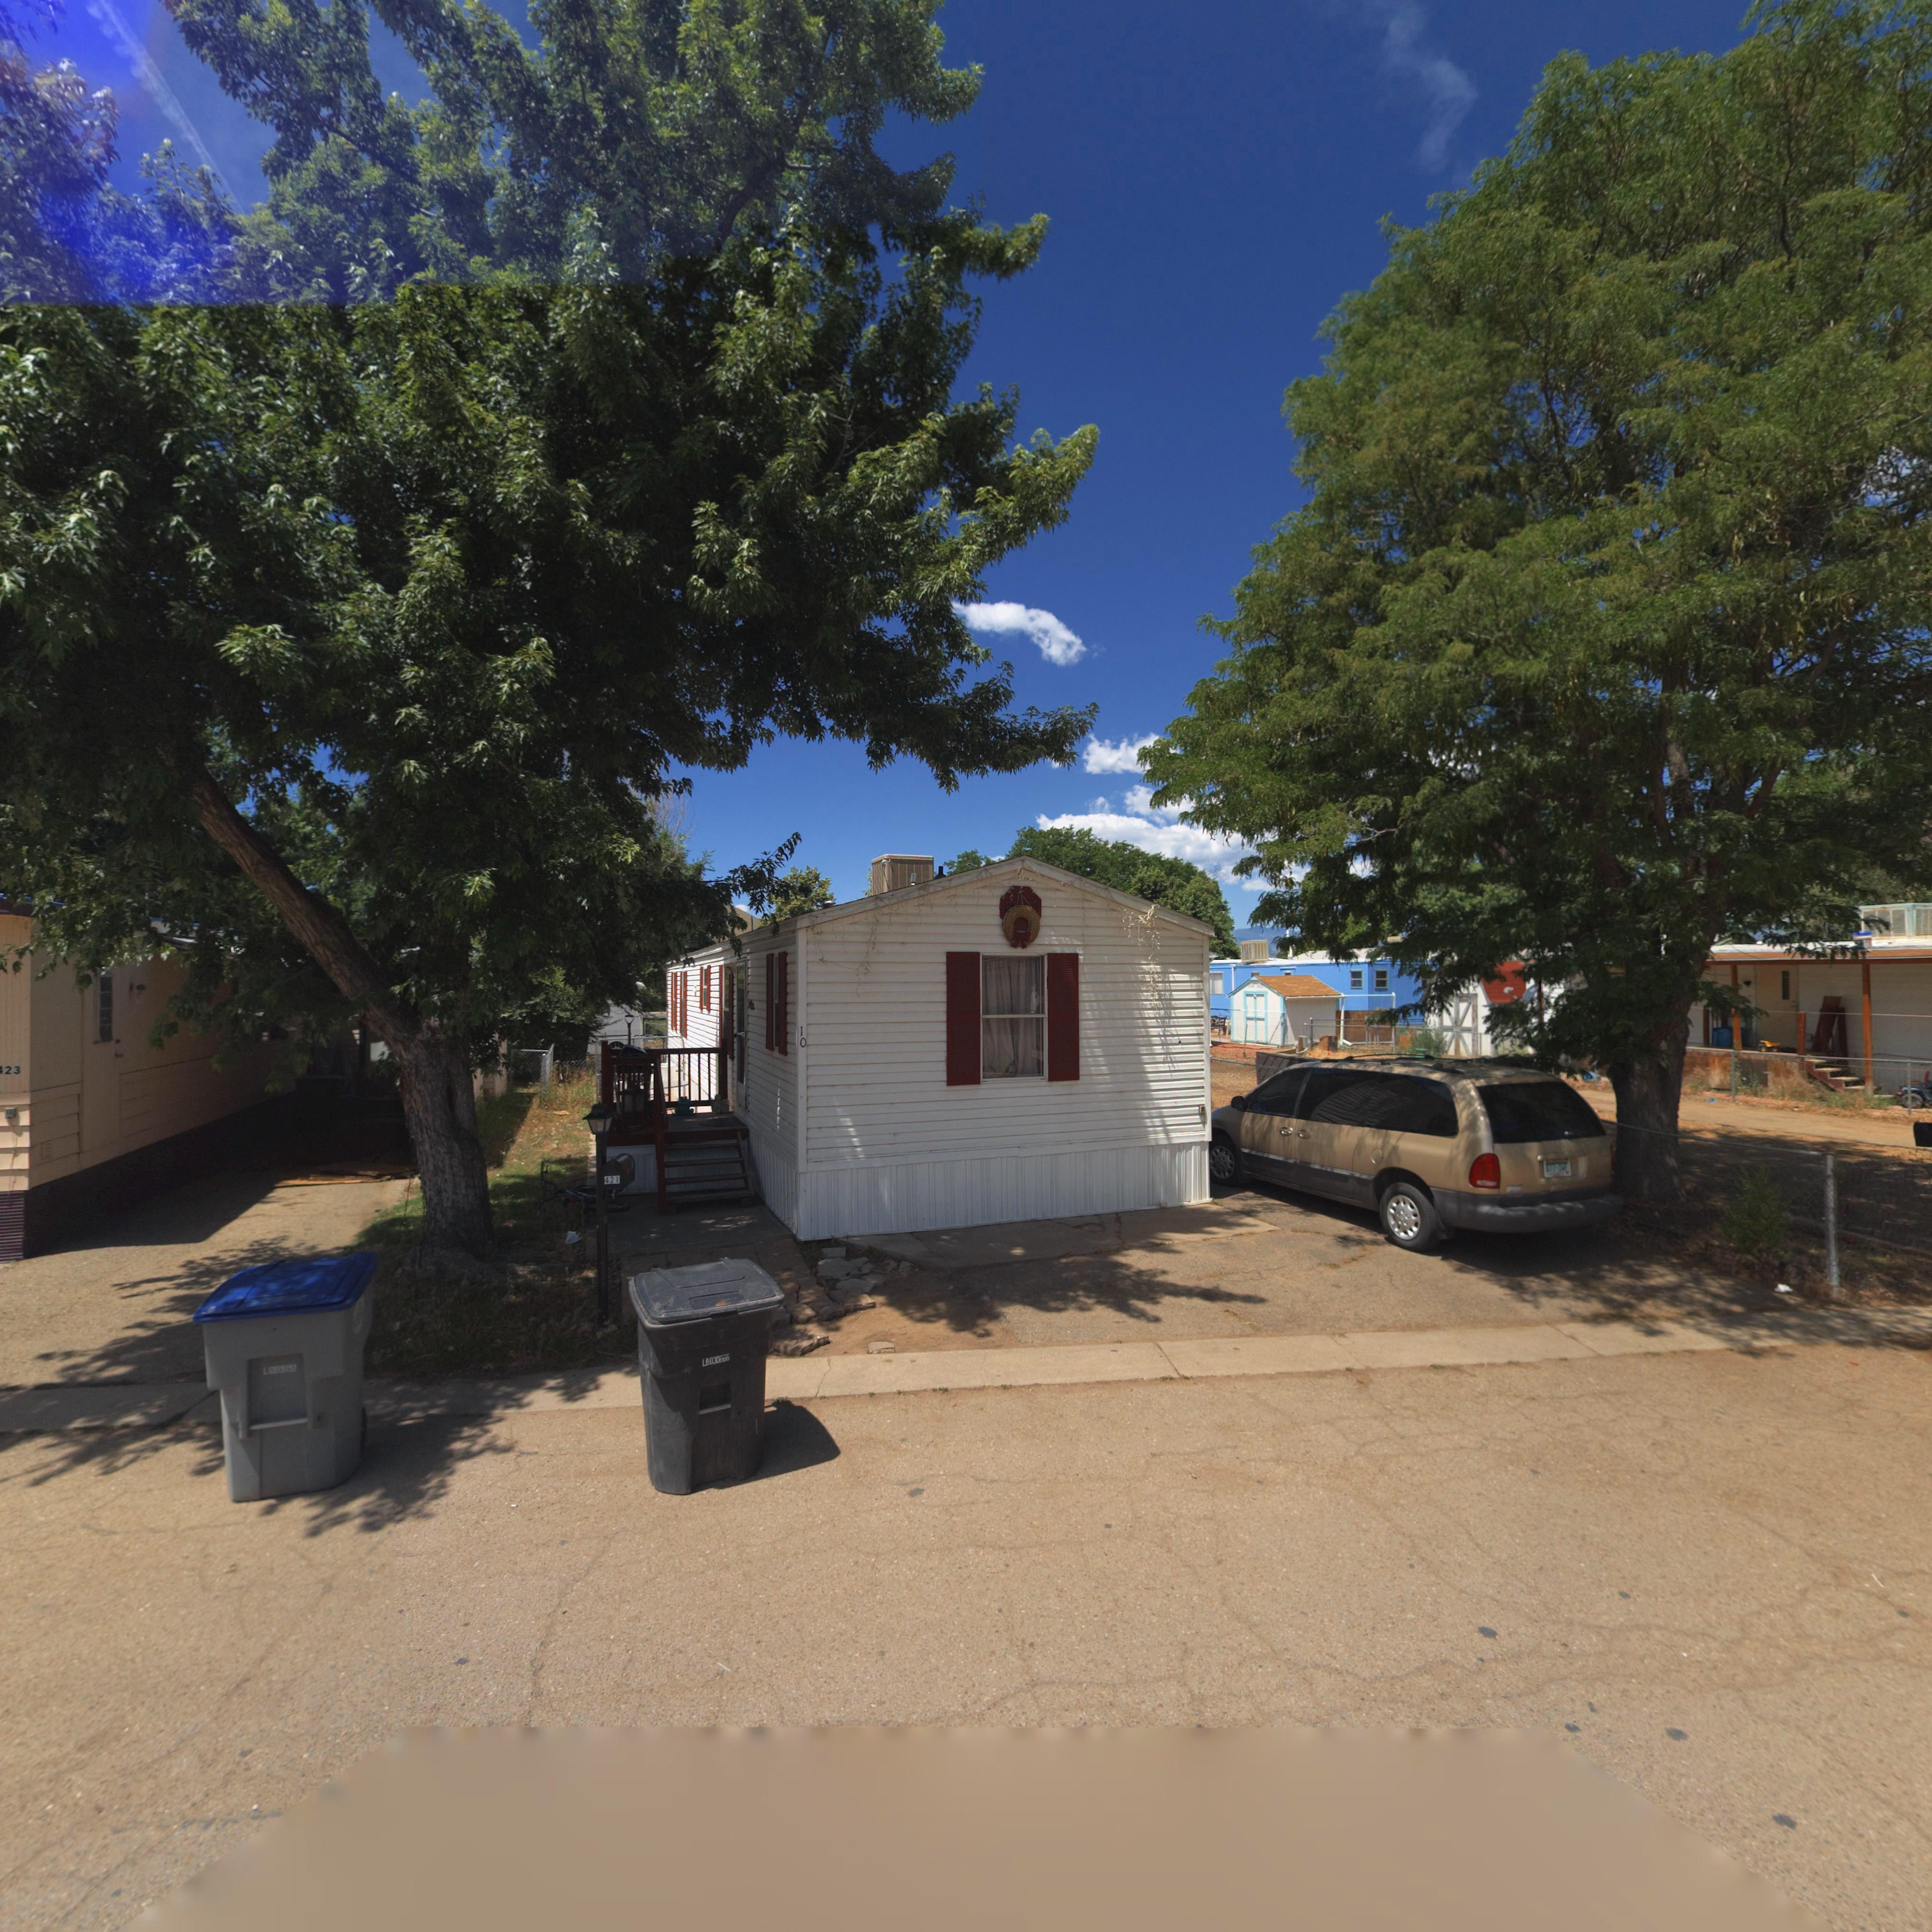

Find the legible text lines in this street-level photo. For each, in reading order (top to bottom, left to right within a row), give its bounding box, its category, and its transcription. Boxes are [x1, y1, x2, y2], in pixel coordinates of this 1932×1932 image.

[4, 1065, 20, 1074] StreetNumber: 23
[605, 1176, 618, 1184] StreetNumber: 421